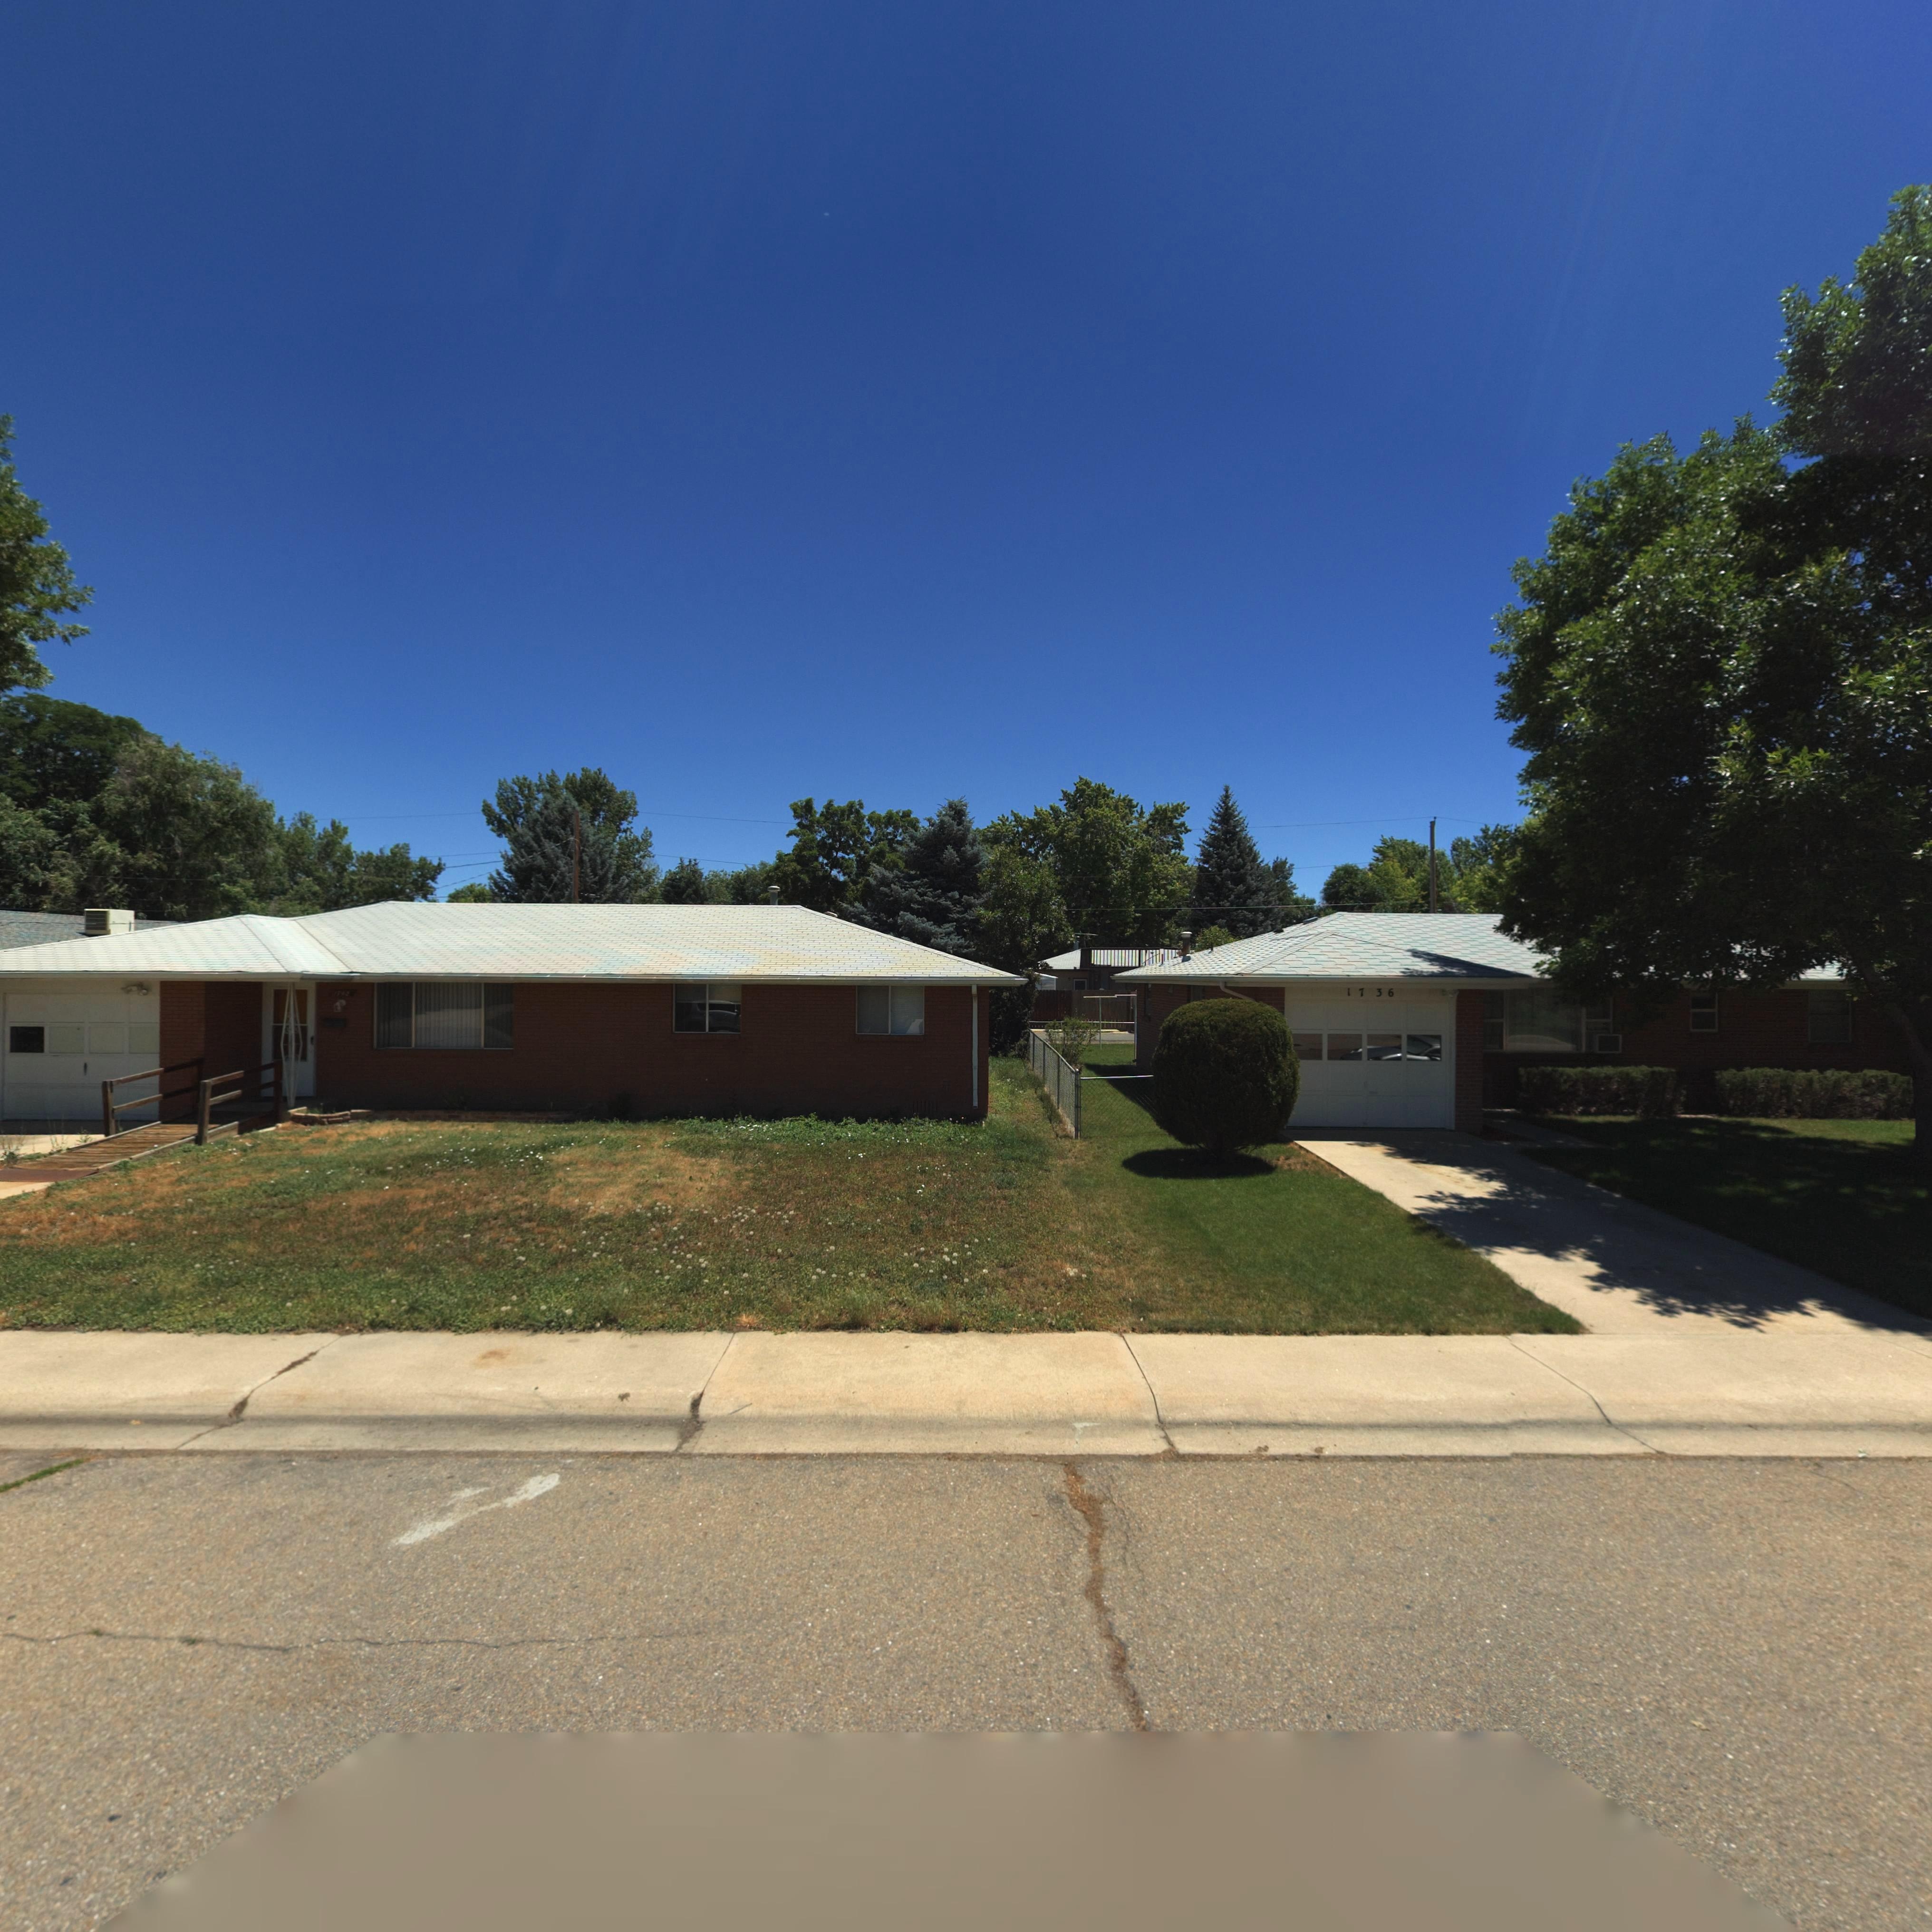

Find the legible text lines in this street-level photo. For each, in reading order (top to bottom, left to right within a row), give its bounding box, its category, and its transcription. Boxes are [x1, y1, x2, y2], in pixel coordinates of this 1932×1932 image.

[332, 990, 350, 996] StreetNumber: 1*42
[1347, 987, 1394, 997] StreetNumber: 1736